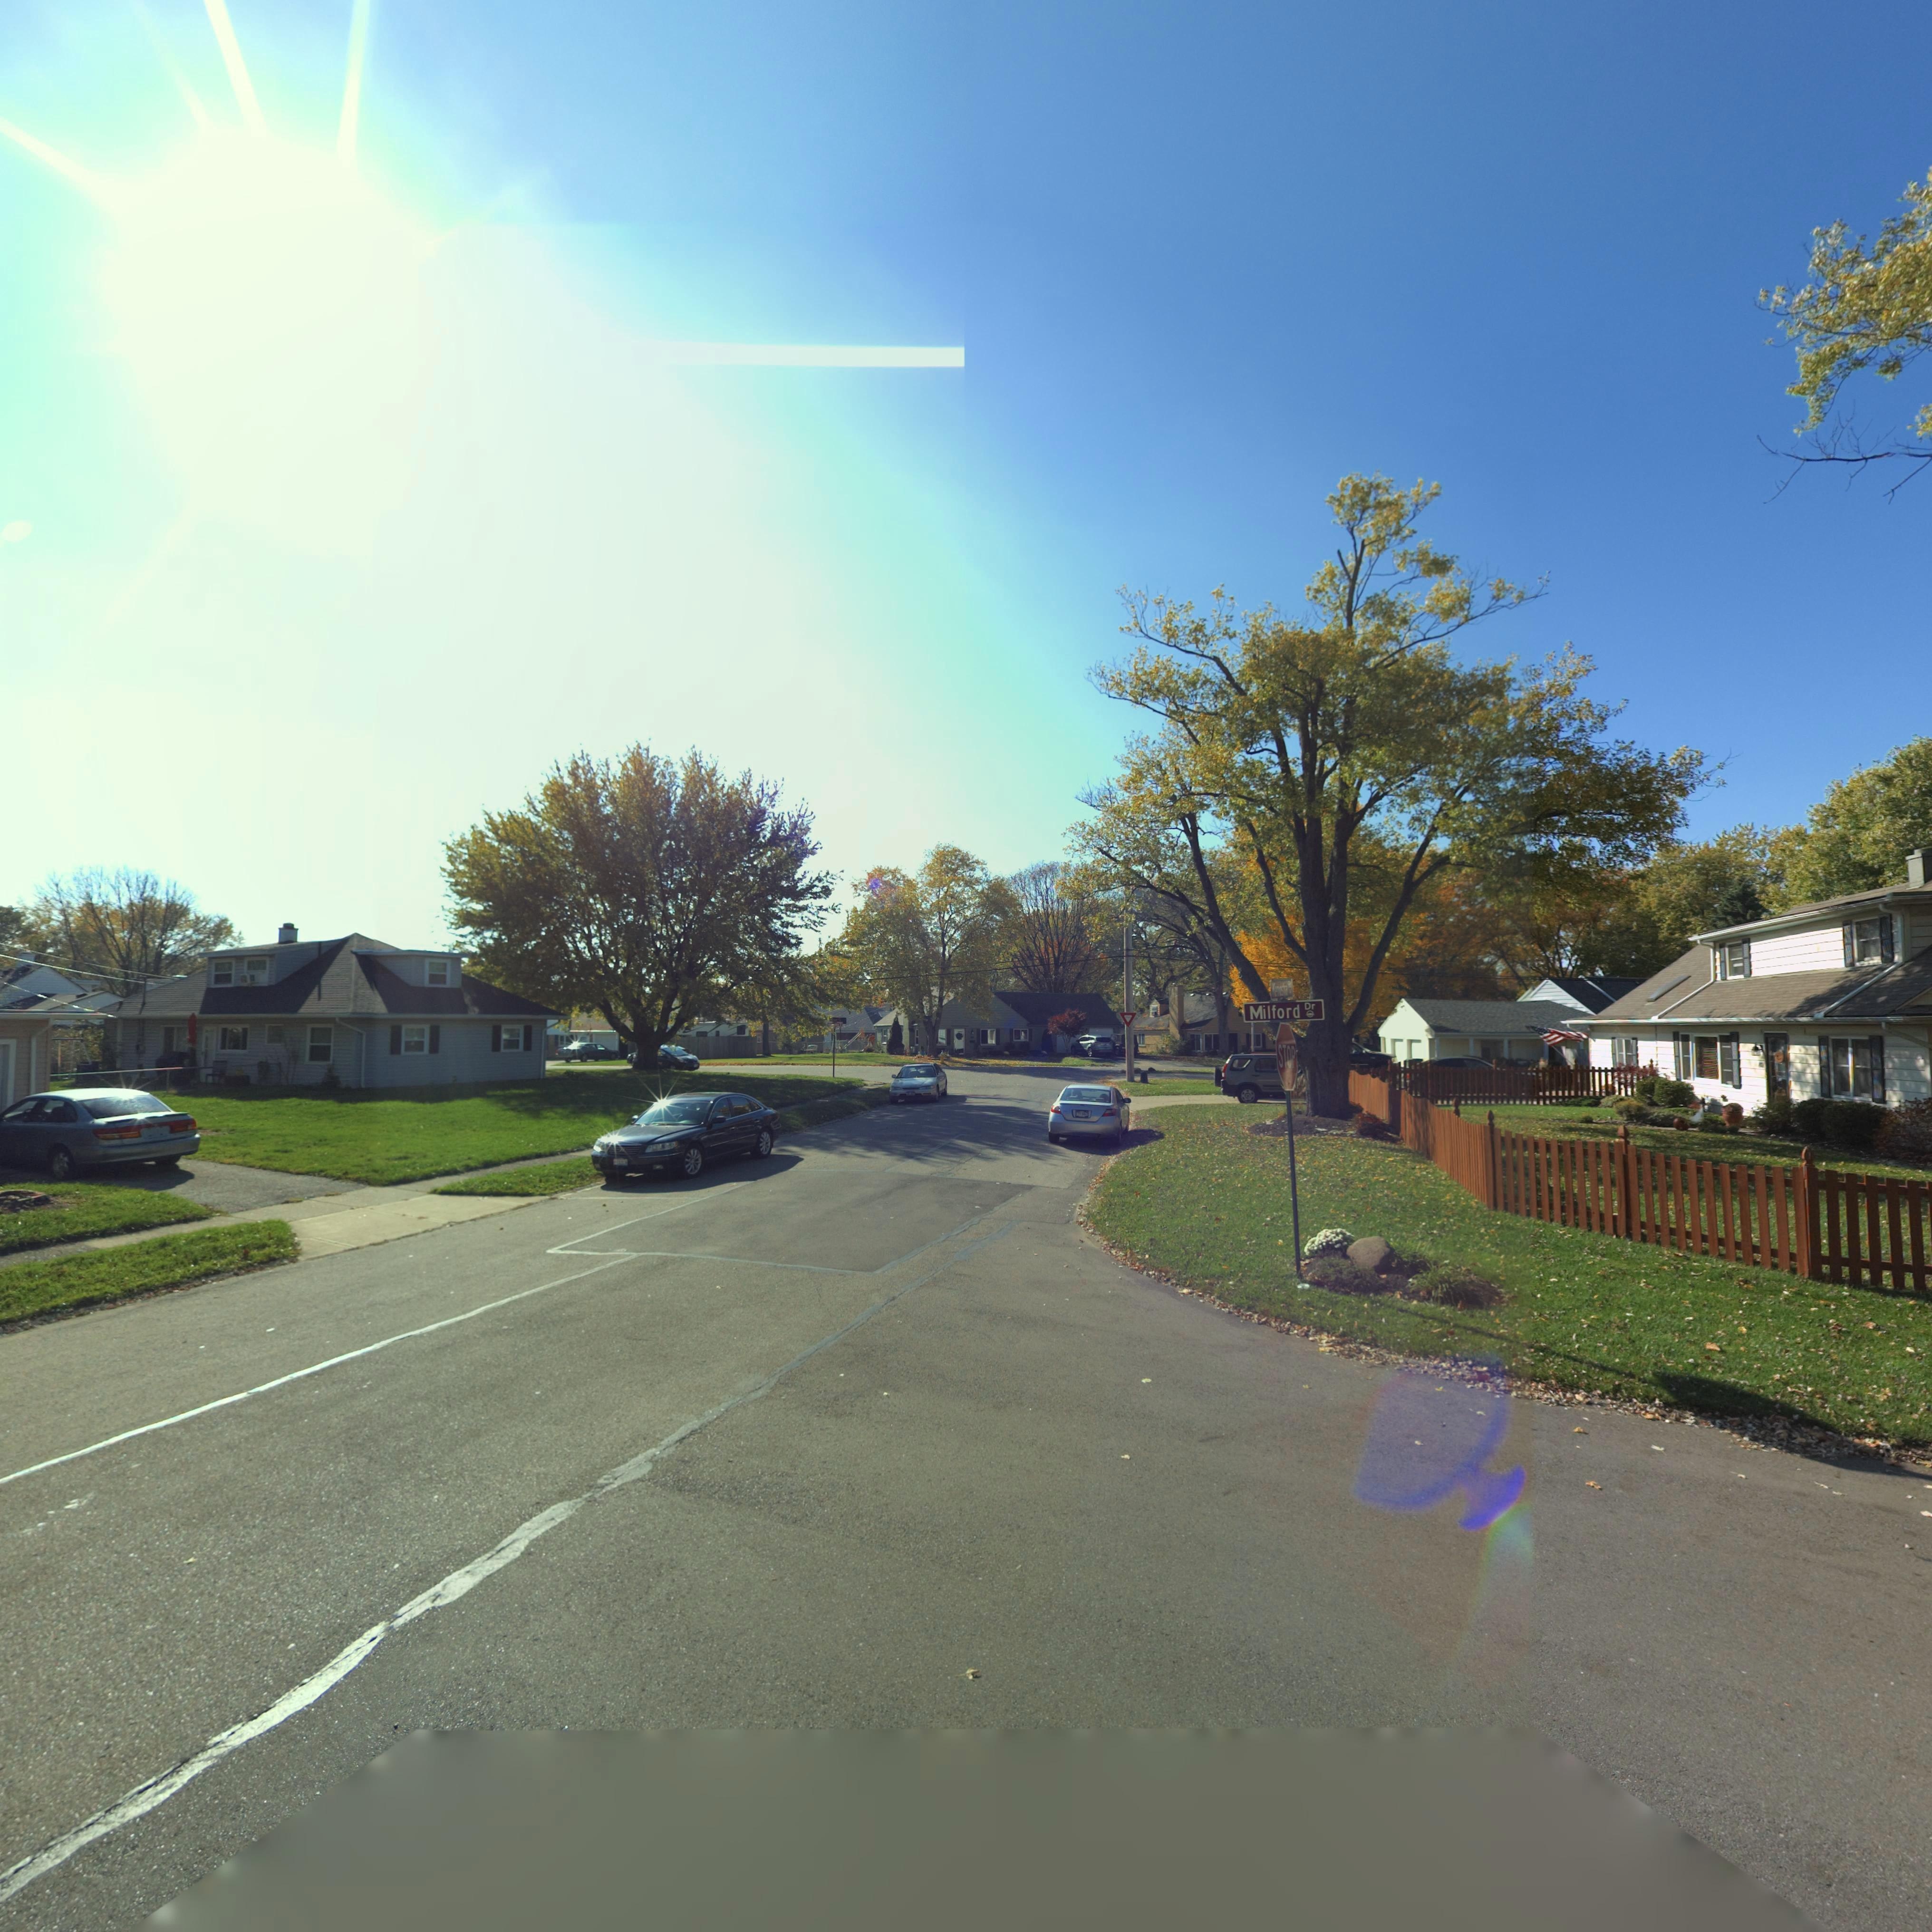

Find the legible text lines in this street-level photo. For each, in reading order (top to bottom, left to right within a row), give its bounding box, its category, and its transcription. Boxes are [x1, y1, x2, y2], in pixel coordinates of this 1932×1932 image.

[1248, 1001, 1317, 1022] StreetName: Milford Dr
[1276, 1043, 1296, 1070] None: STOP